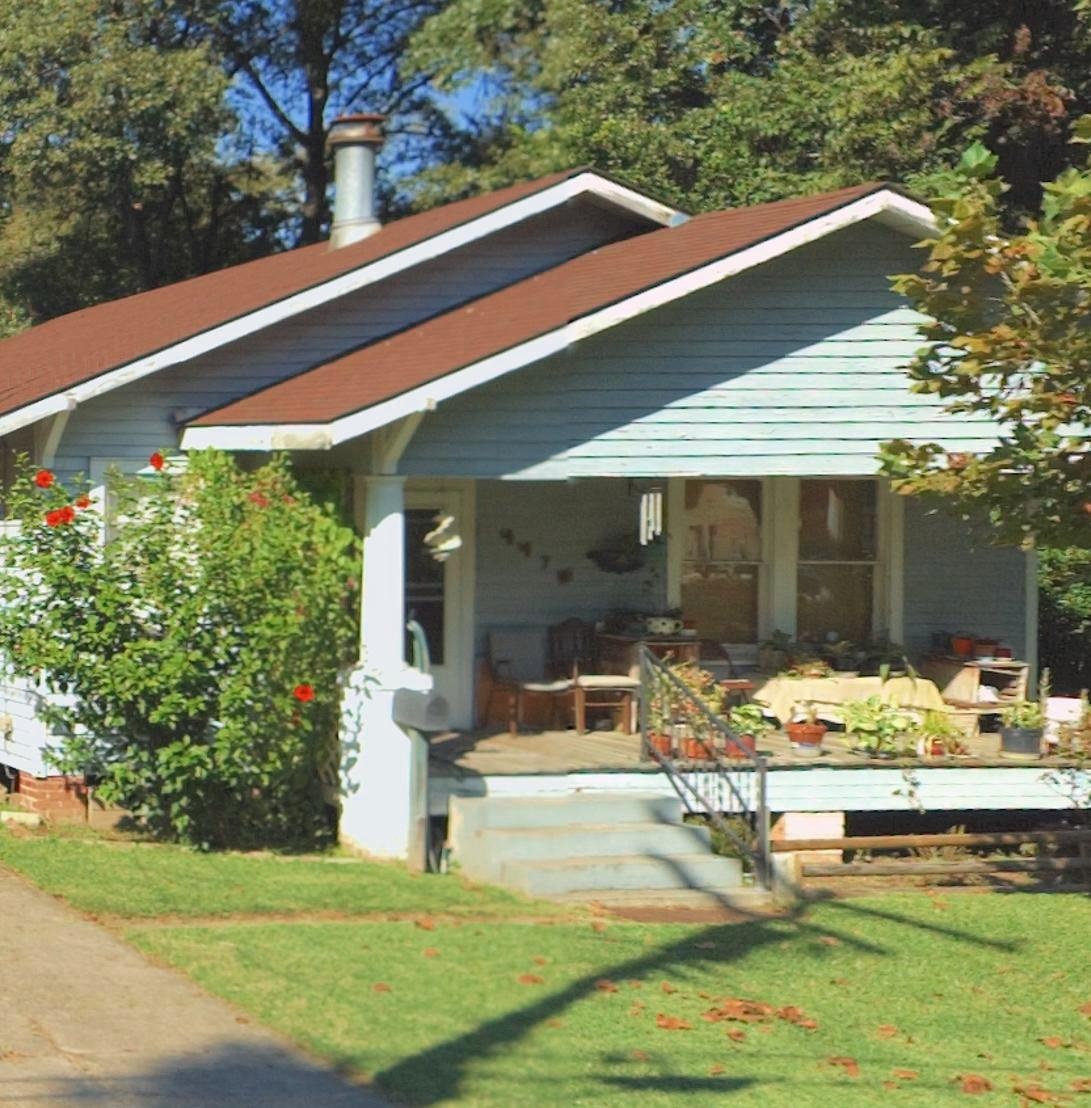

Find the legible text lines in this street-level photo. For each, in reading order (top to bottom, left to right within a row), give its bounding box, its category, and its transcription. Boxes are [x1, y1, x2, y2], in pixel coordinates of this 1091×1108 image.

[501, 527, 573, 586] StreetNumber: 447*